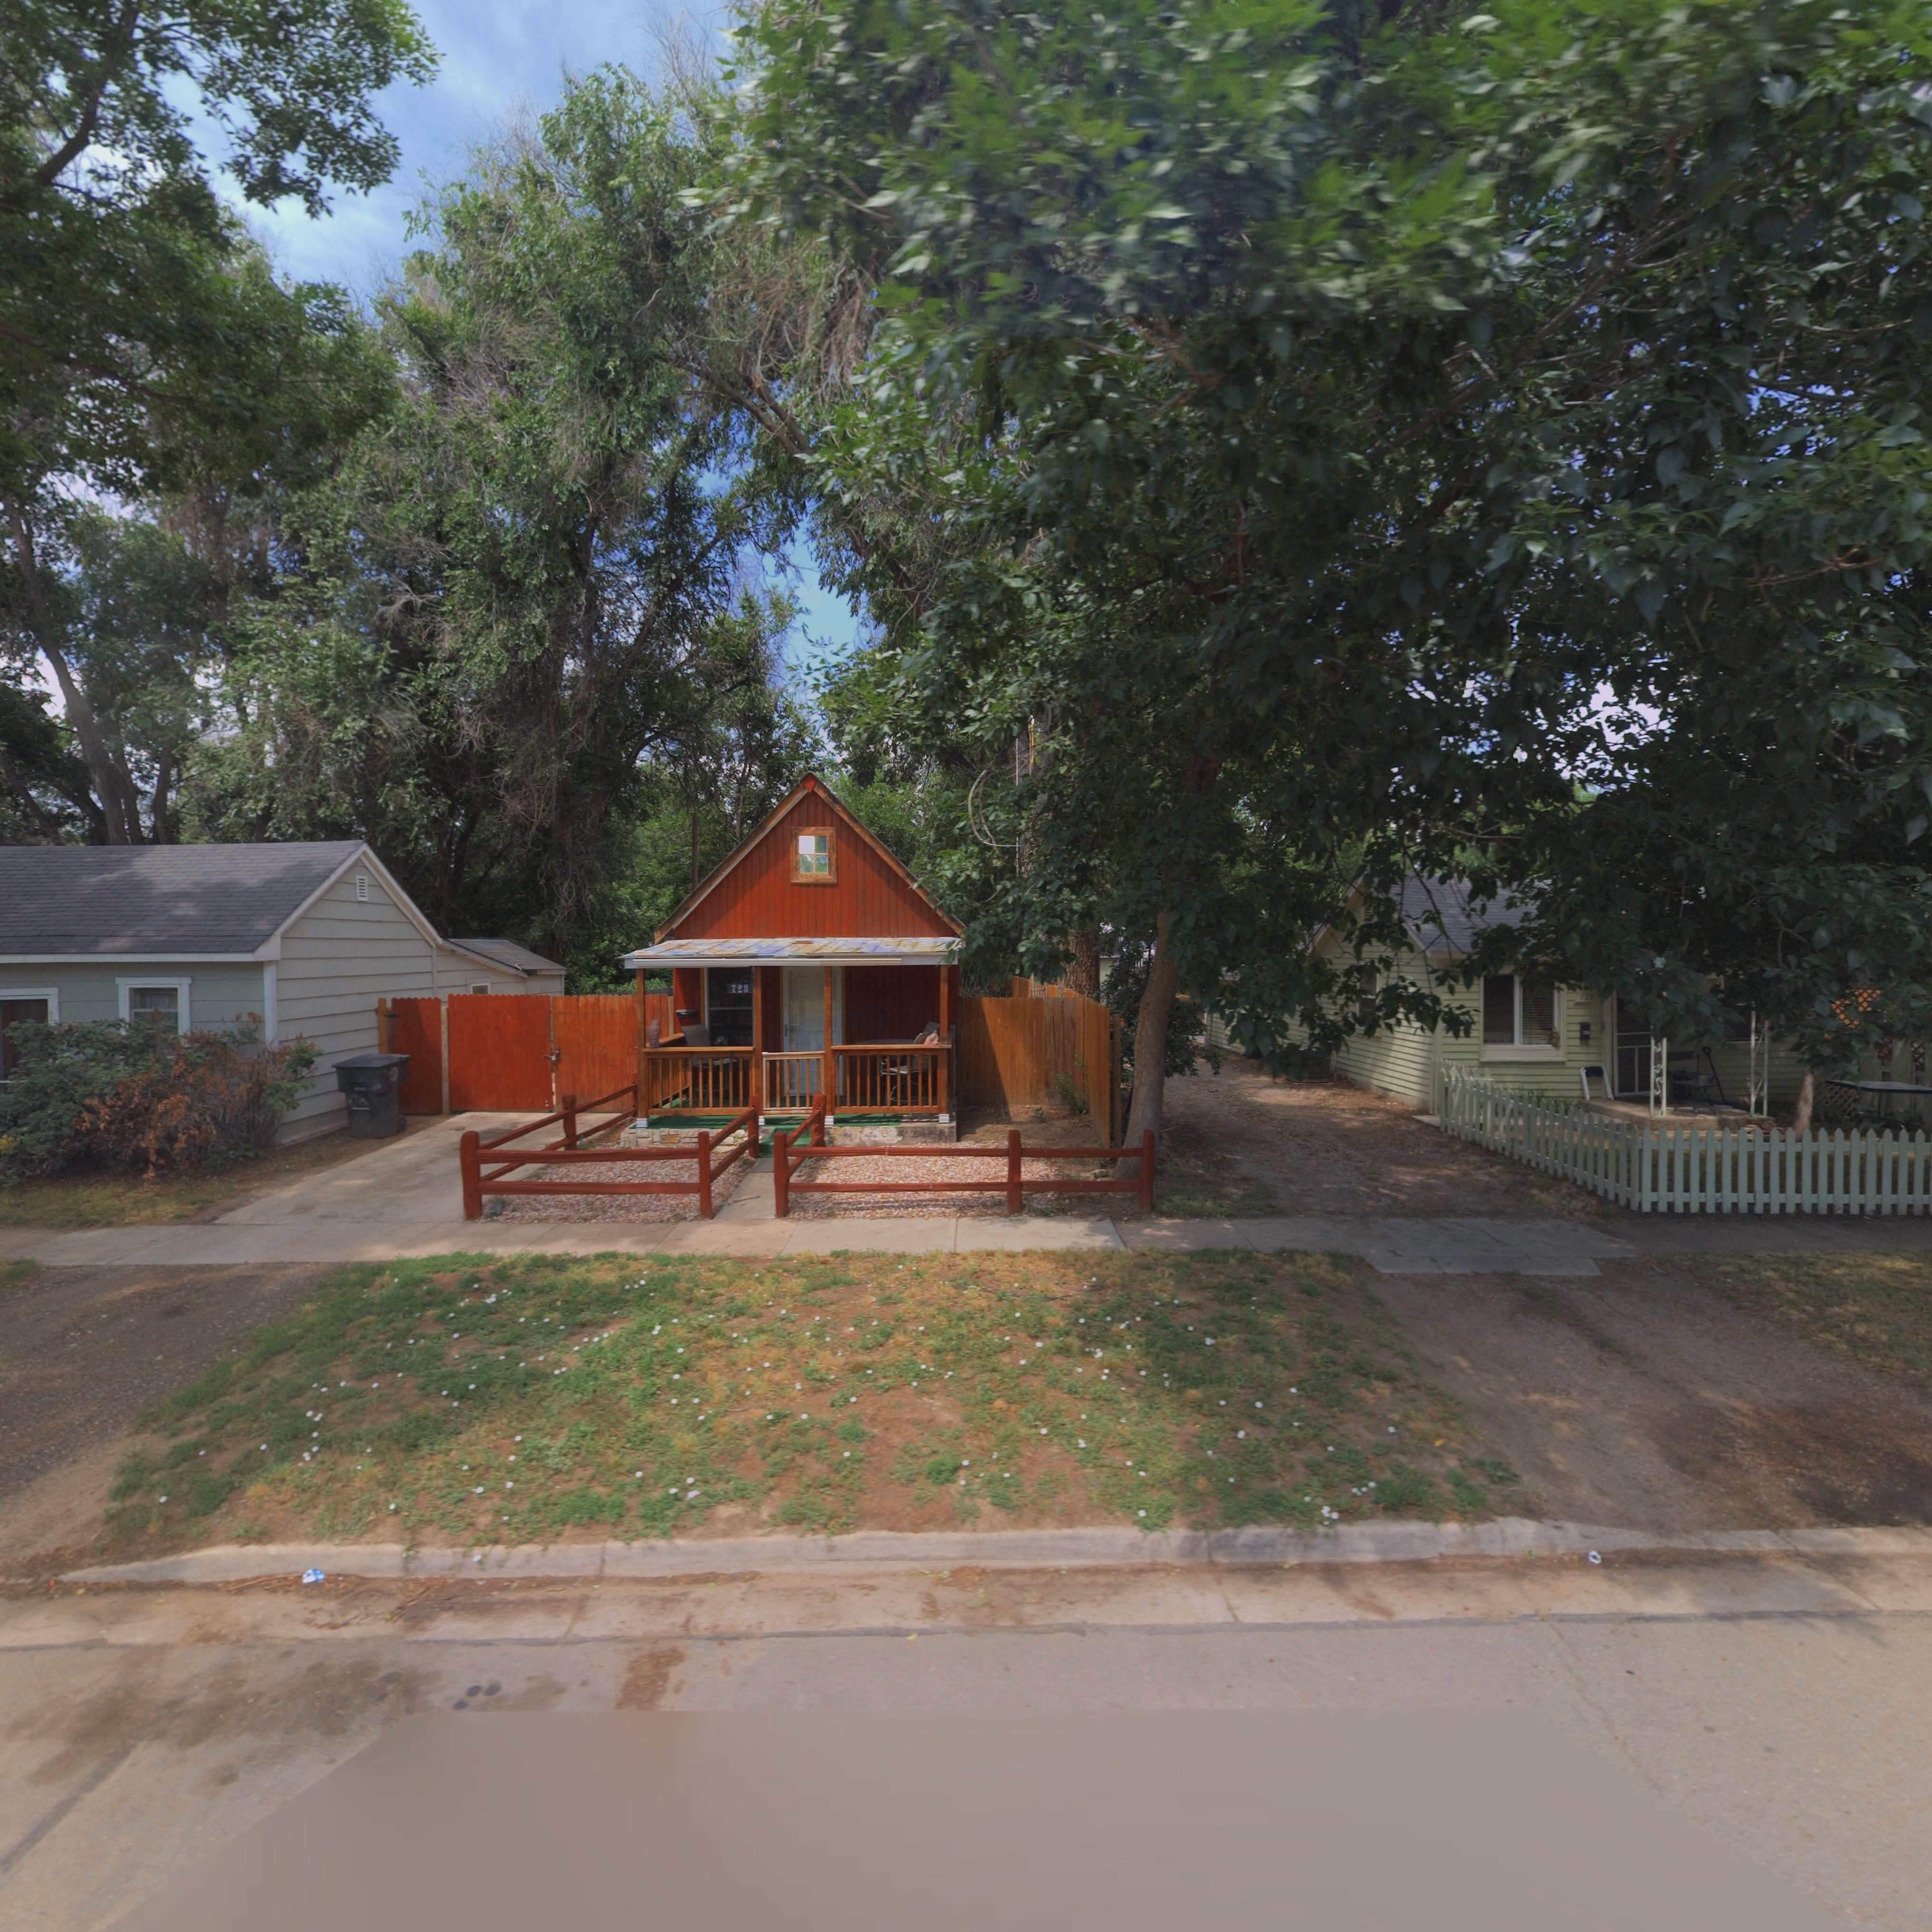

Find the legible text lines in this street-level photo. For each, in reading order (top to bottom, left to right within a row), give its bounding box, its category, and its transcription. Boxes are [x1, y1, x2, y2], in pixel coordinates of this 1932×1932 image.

[730, 984, 748, 993] StreetNumber: 723
[1578, 993, 1594, 1001] StreetNumber: 727